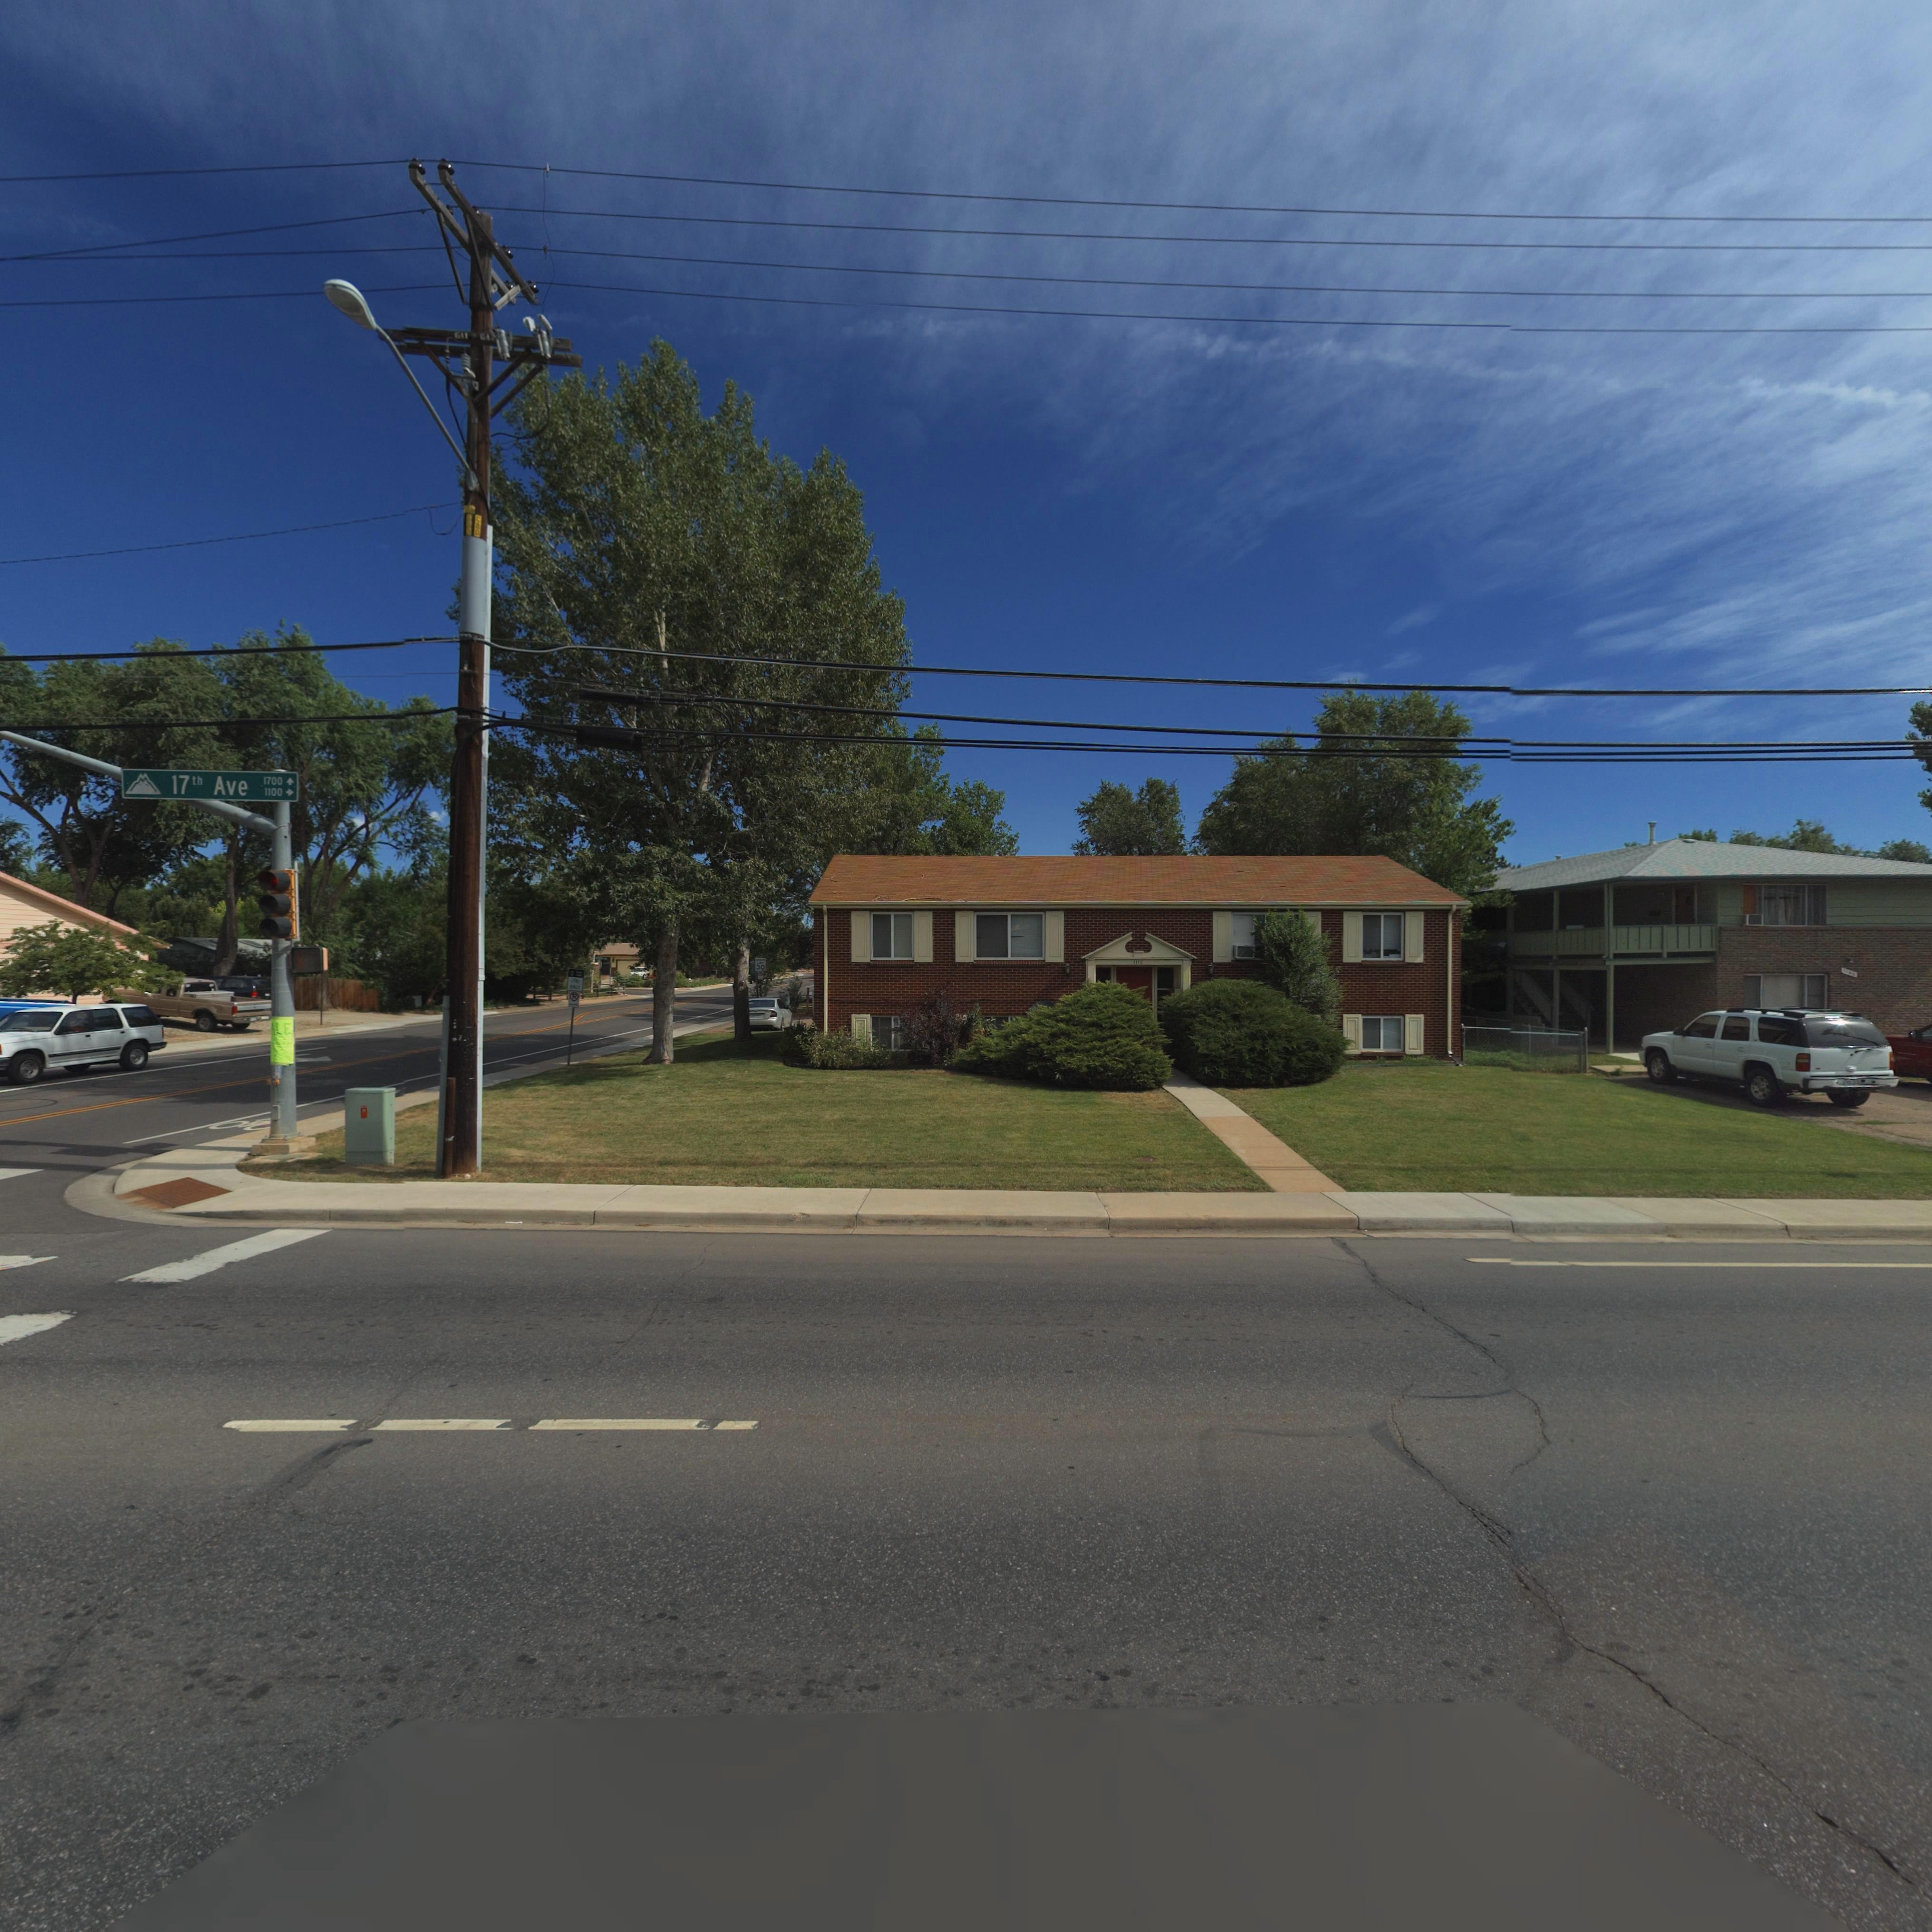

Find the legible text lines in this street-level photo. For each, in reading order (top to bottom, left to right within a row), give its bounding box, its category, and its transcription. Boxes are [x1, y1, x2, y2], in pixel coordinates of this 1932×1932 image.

[171, 774, 248, 796] StreetName: 17th Ave
[262, 776, 283, 785] StreetNumberRange: 1700
[264, 787, 295, 796] StreetNumberRange: 1100->
[1133, 960, 1143, 964] StreetNumber: 1112
[1843, 968, 1855, 976] StreetNumber: 1**0